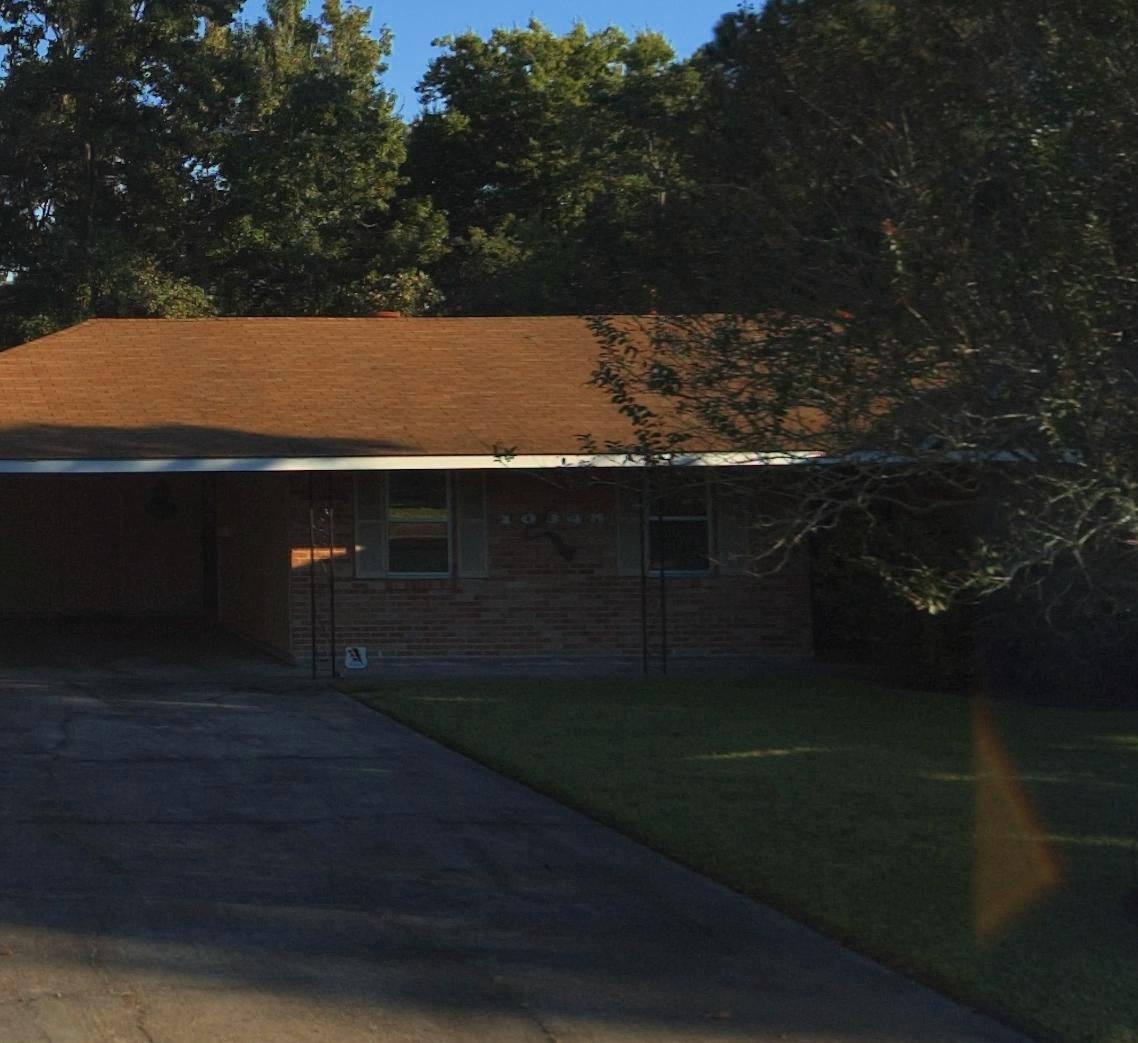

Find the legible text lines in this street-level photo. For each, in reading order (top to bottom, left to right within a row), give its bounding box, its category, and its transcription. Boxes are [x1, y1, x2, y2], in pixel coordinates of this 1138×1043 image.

[499, 511, 606, 526] StreetNumber: 10345